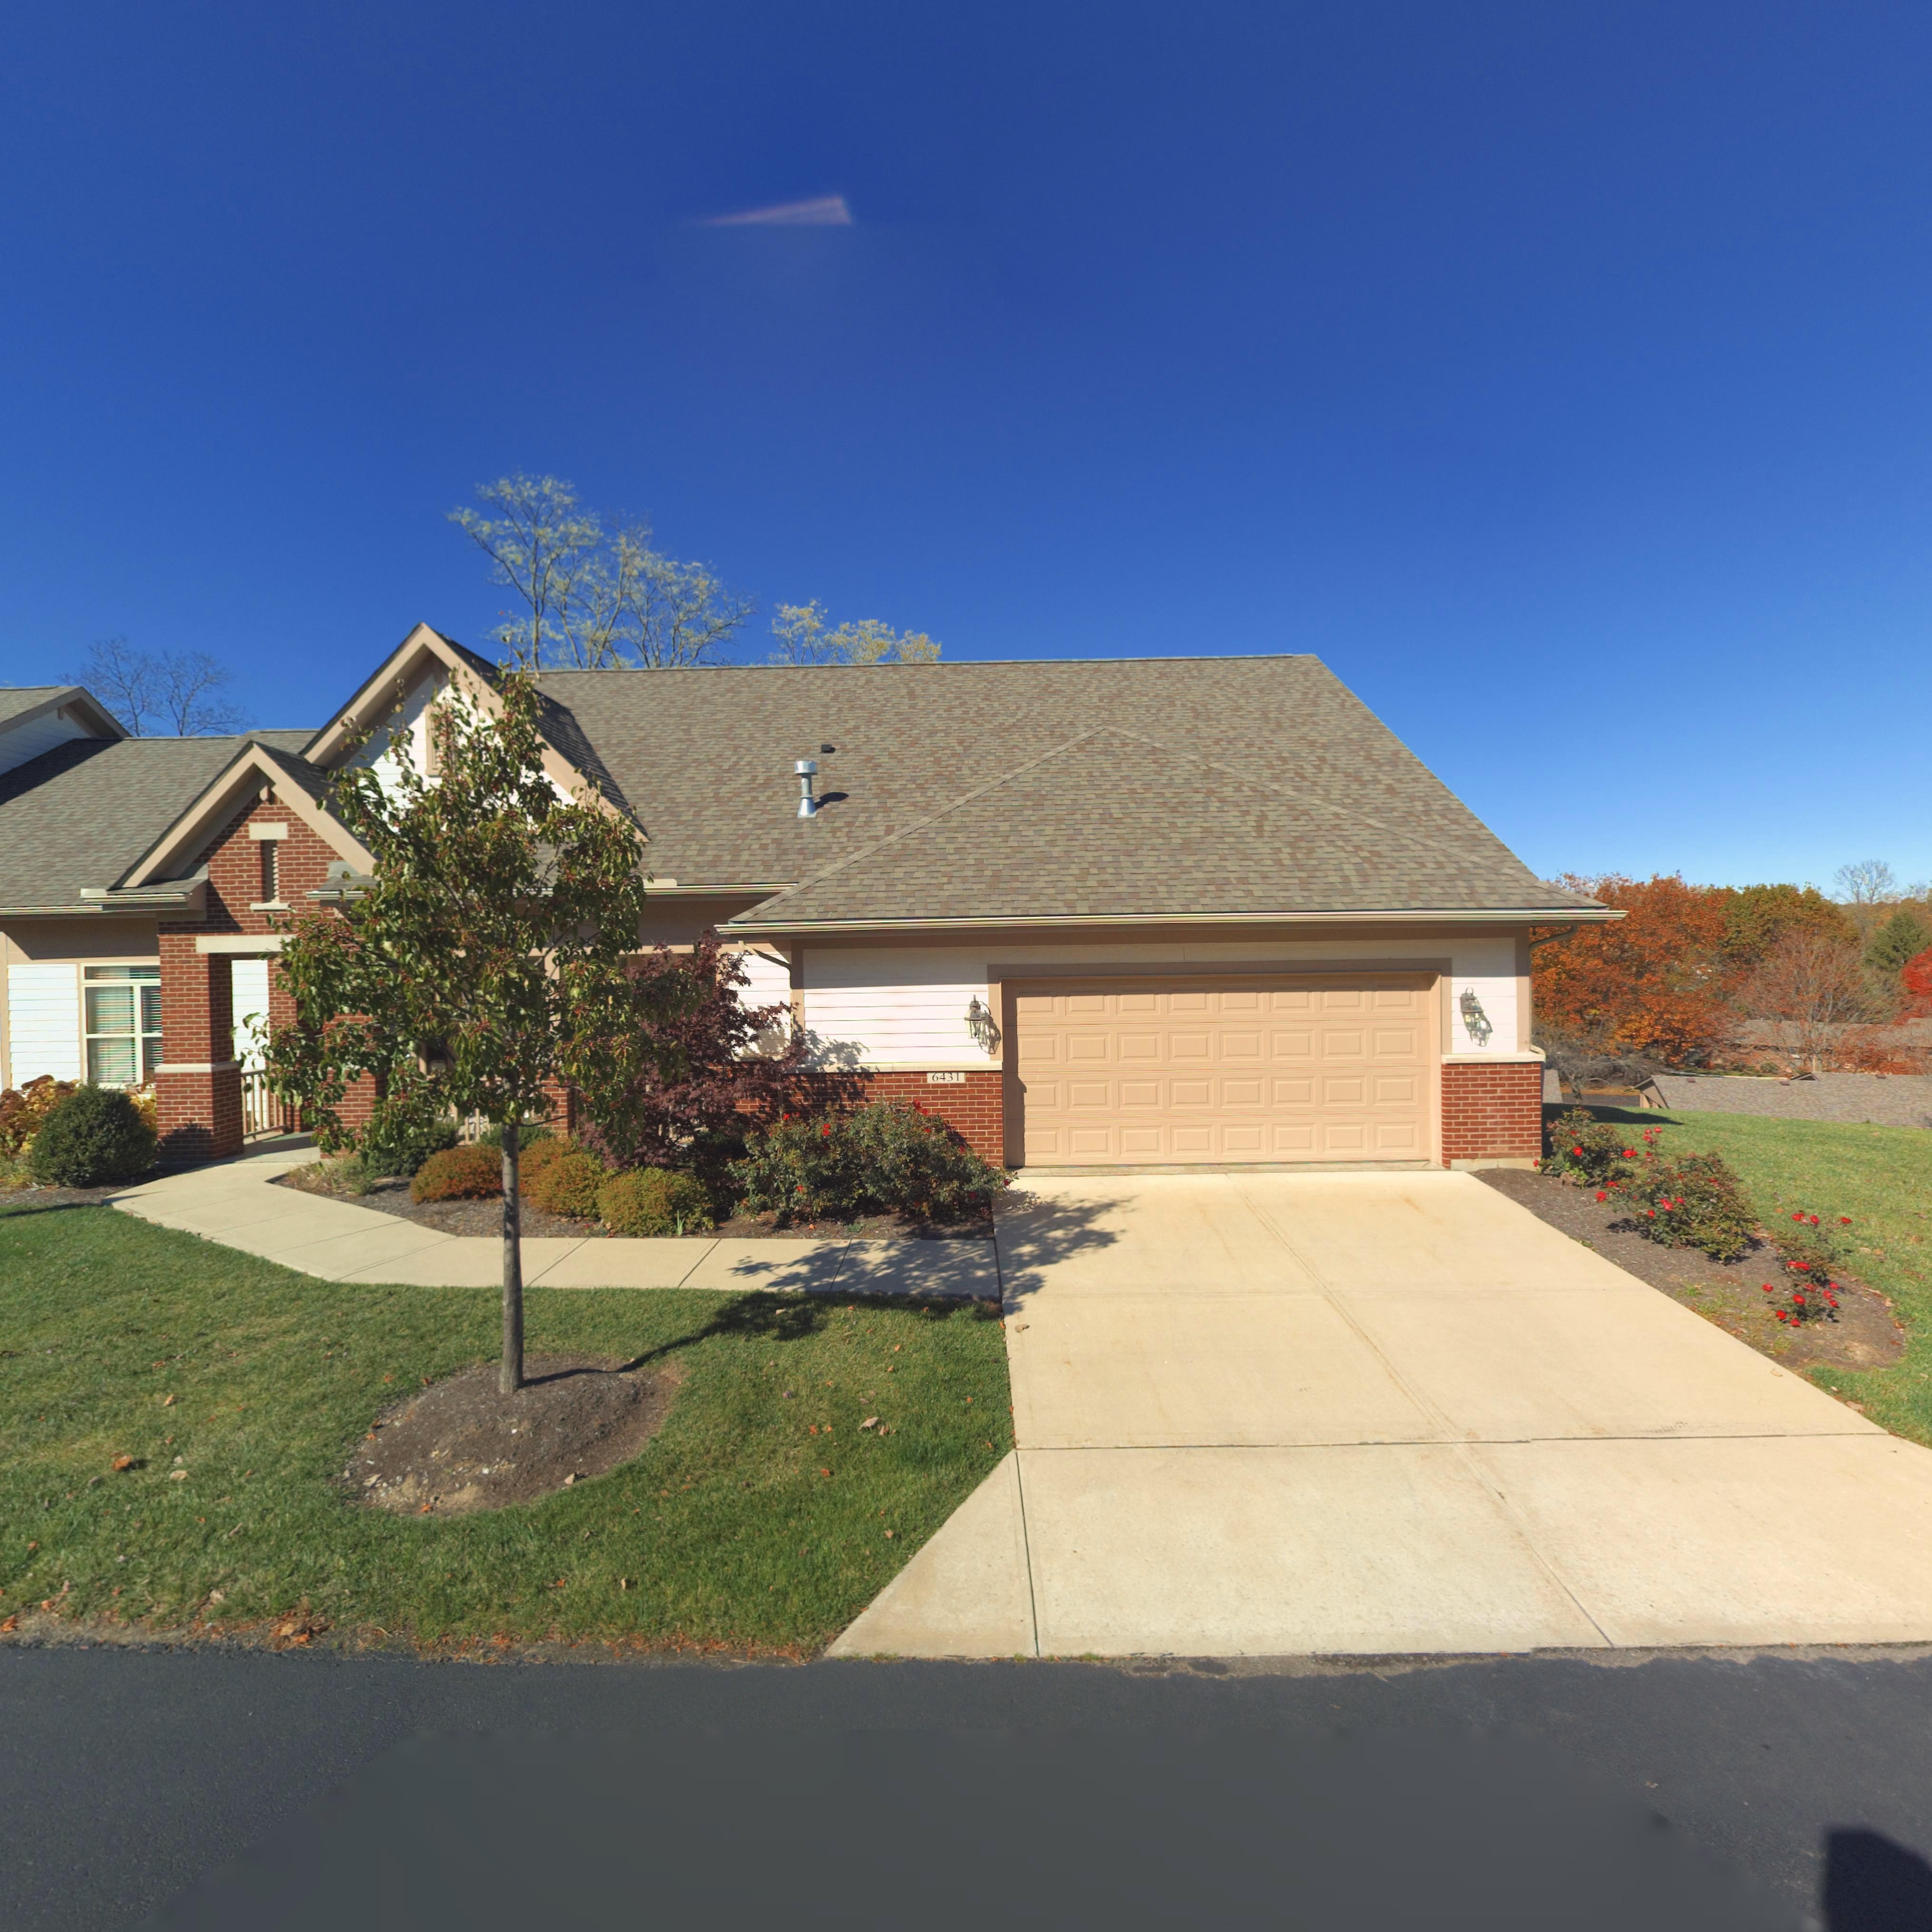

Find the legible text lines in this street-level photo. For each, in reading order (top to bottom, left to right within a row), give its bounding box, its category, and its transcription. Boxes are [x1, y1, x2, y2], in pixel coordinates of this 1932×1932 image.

[932, 1071, 959, 1082] StreetNumber: 6431